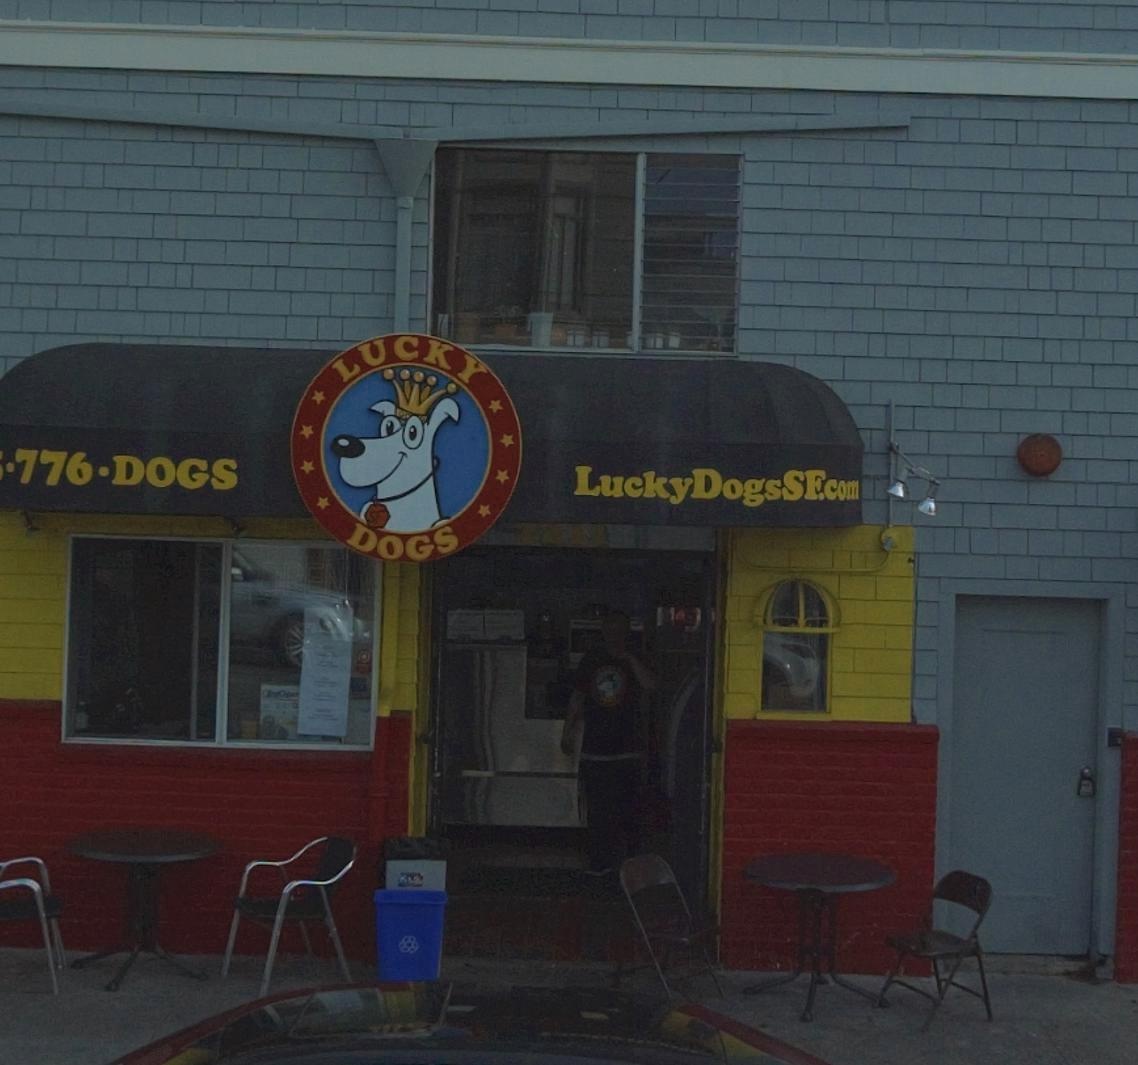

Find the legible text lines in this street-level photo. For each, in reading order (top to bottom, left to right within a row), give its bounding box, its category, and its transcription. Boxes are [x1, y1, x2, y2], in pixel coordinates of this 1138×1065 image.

[324, 333, 494, 389] BusinessName: LUCKY
[9, 444, 243, 495] None: 776*DOGS
[568, 460, 862, 511] None: LuckyDogsSF.com
[339, 518, 464, 565] BusinessName: DOGS
[511, 520, 612, 549] StreetNumber: 221